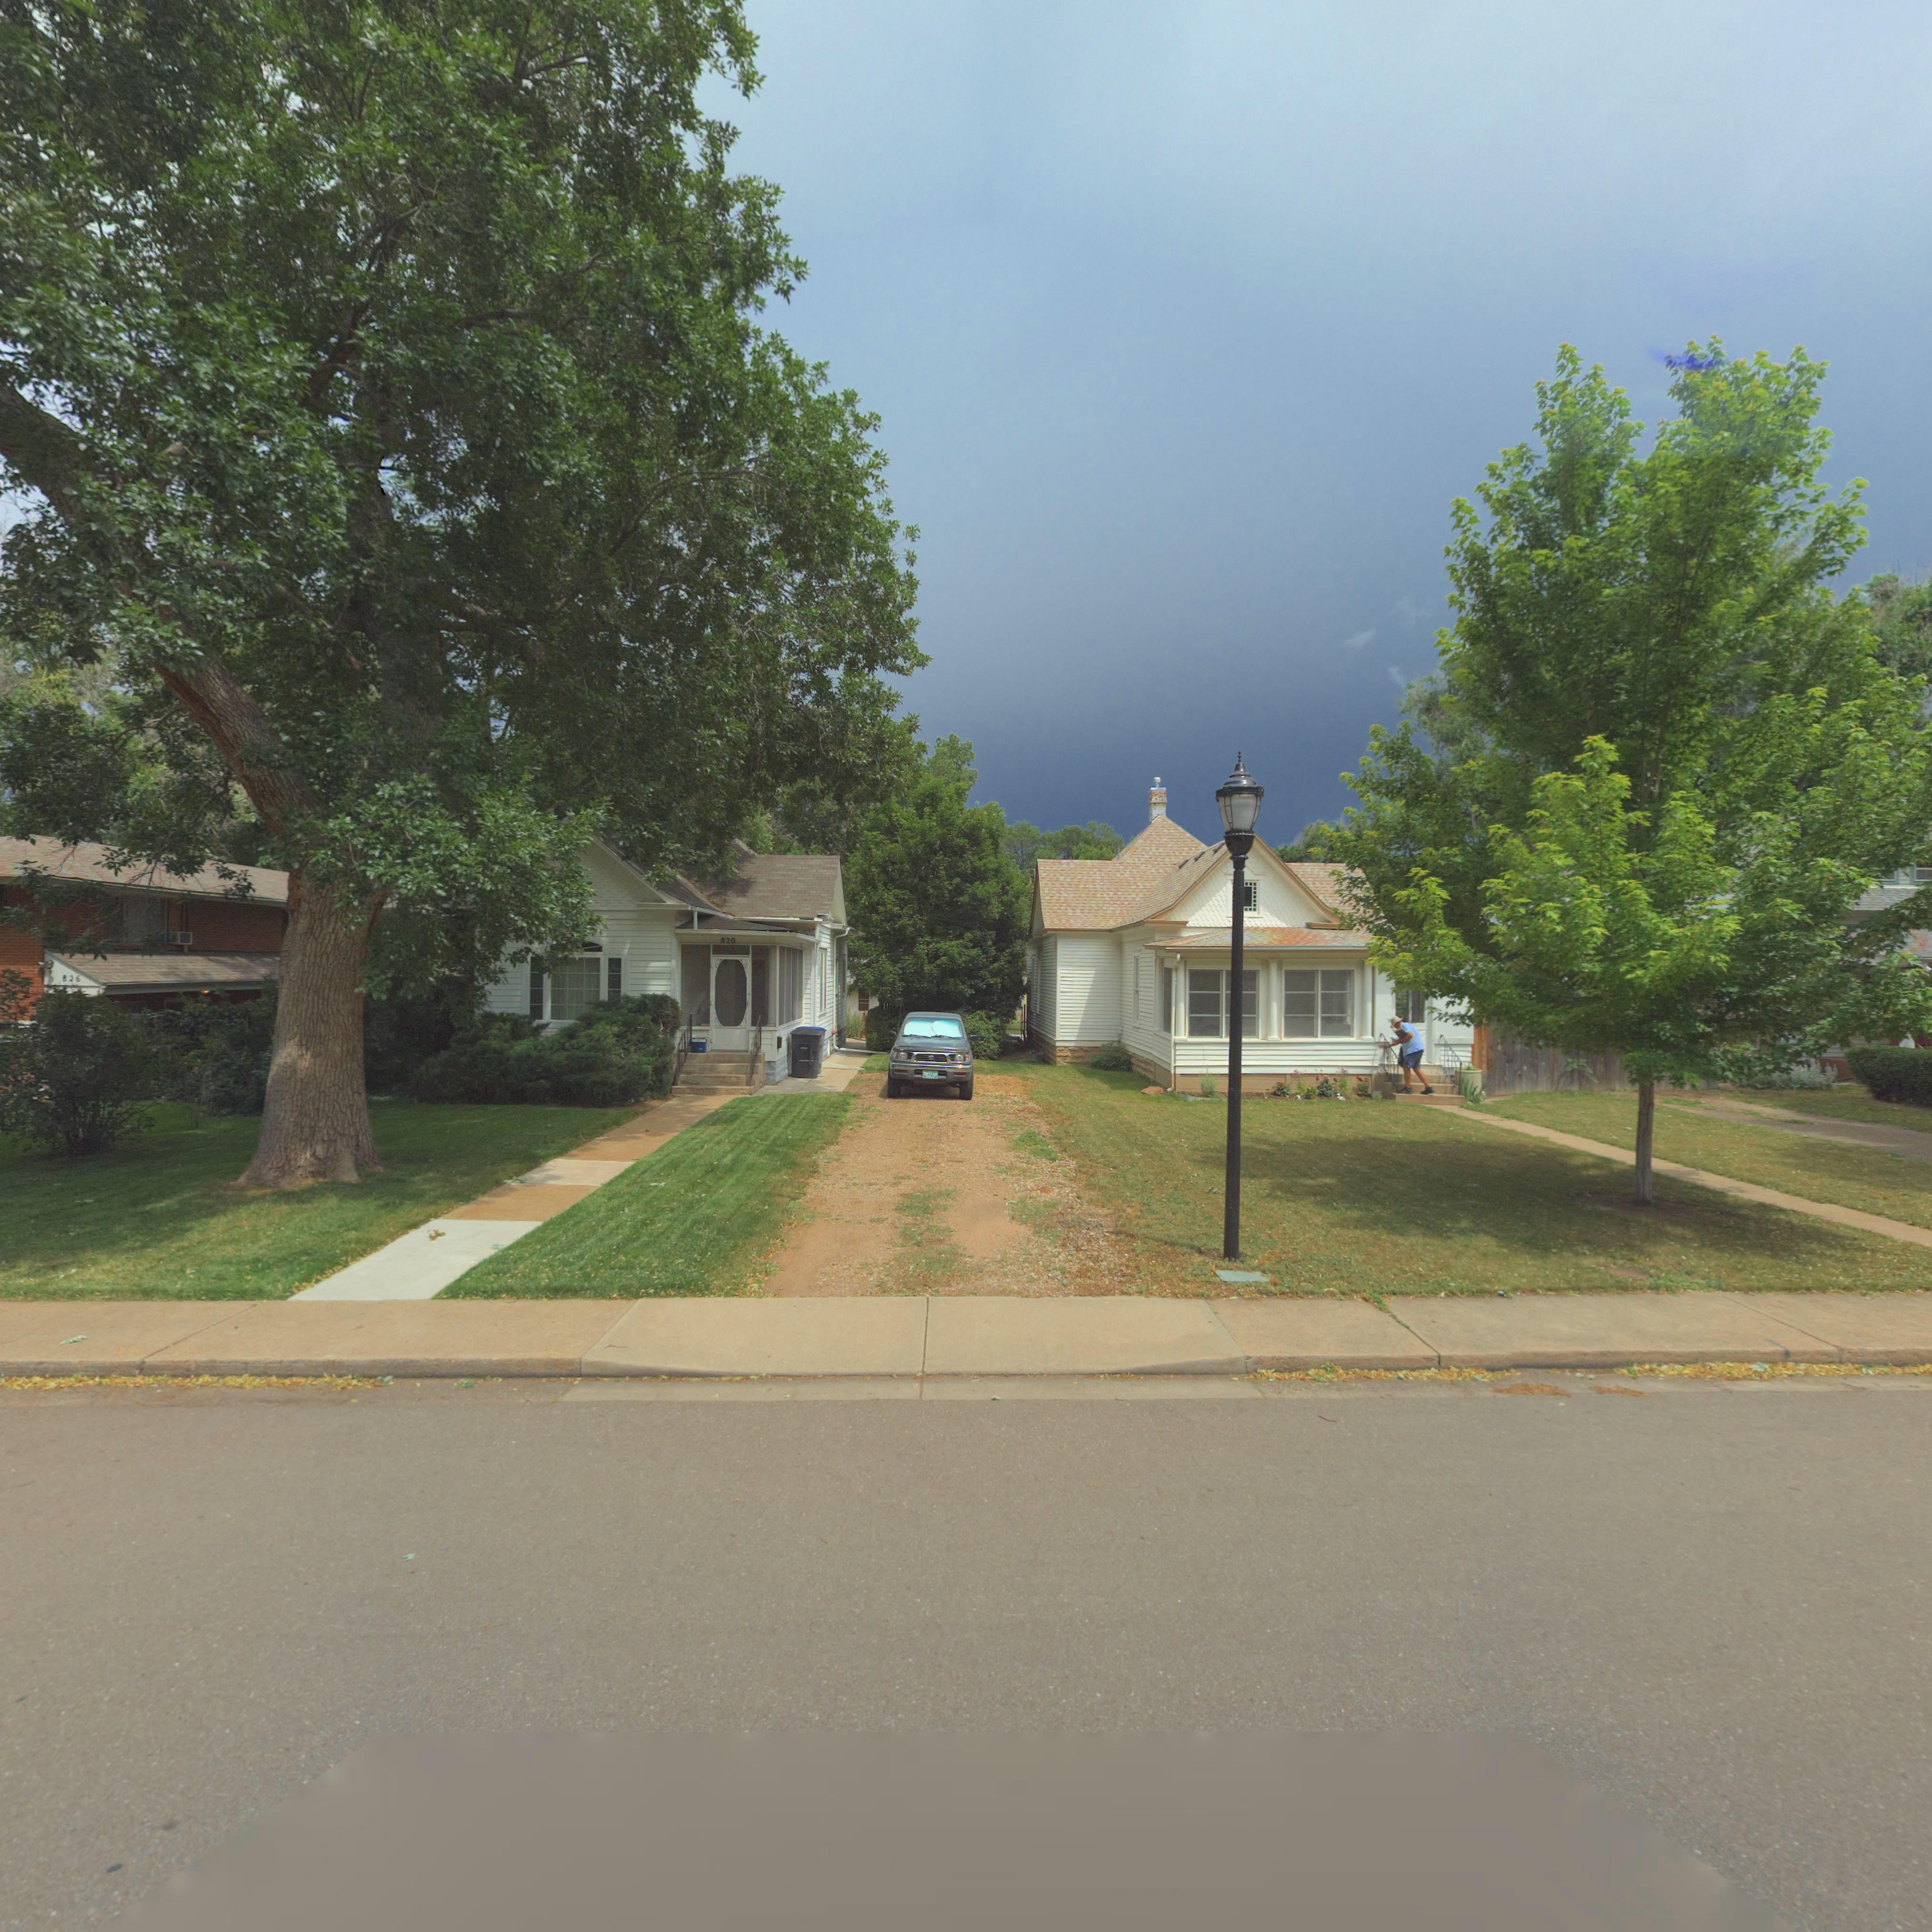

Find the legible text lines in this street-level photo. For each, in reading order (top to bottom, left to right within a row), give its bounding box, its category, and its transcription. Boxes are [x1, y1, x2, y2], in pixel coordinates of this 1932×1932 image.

[720, 937, 735, 944] StreetNumber: 820
[61, 974, 80, 983] StreetNumber: 826